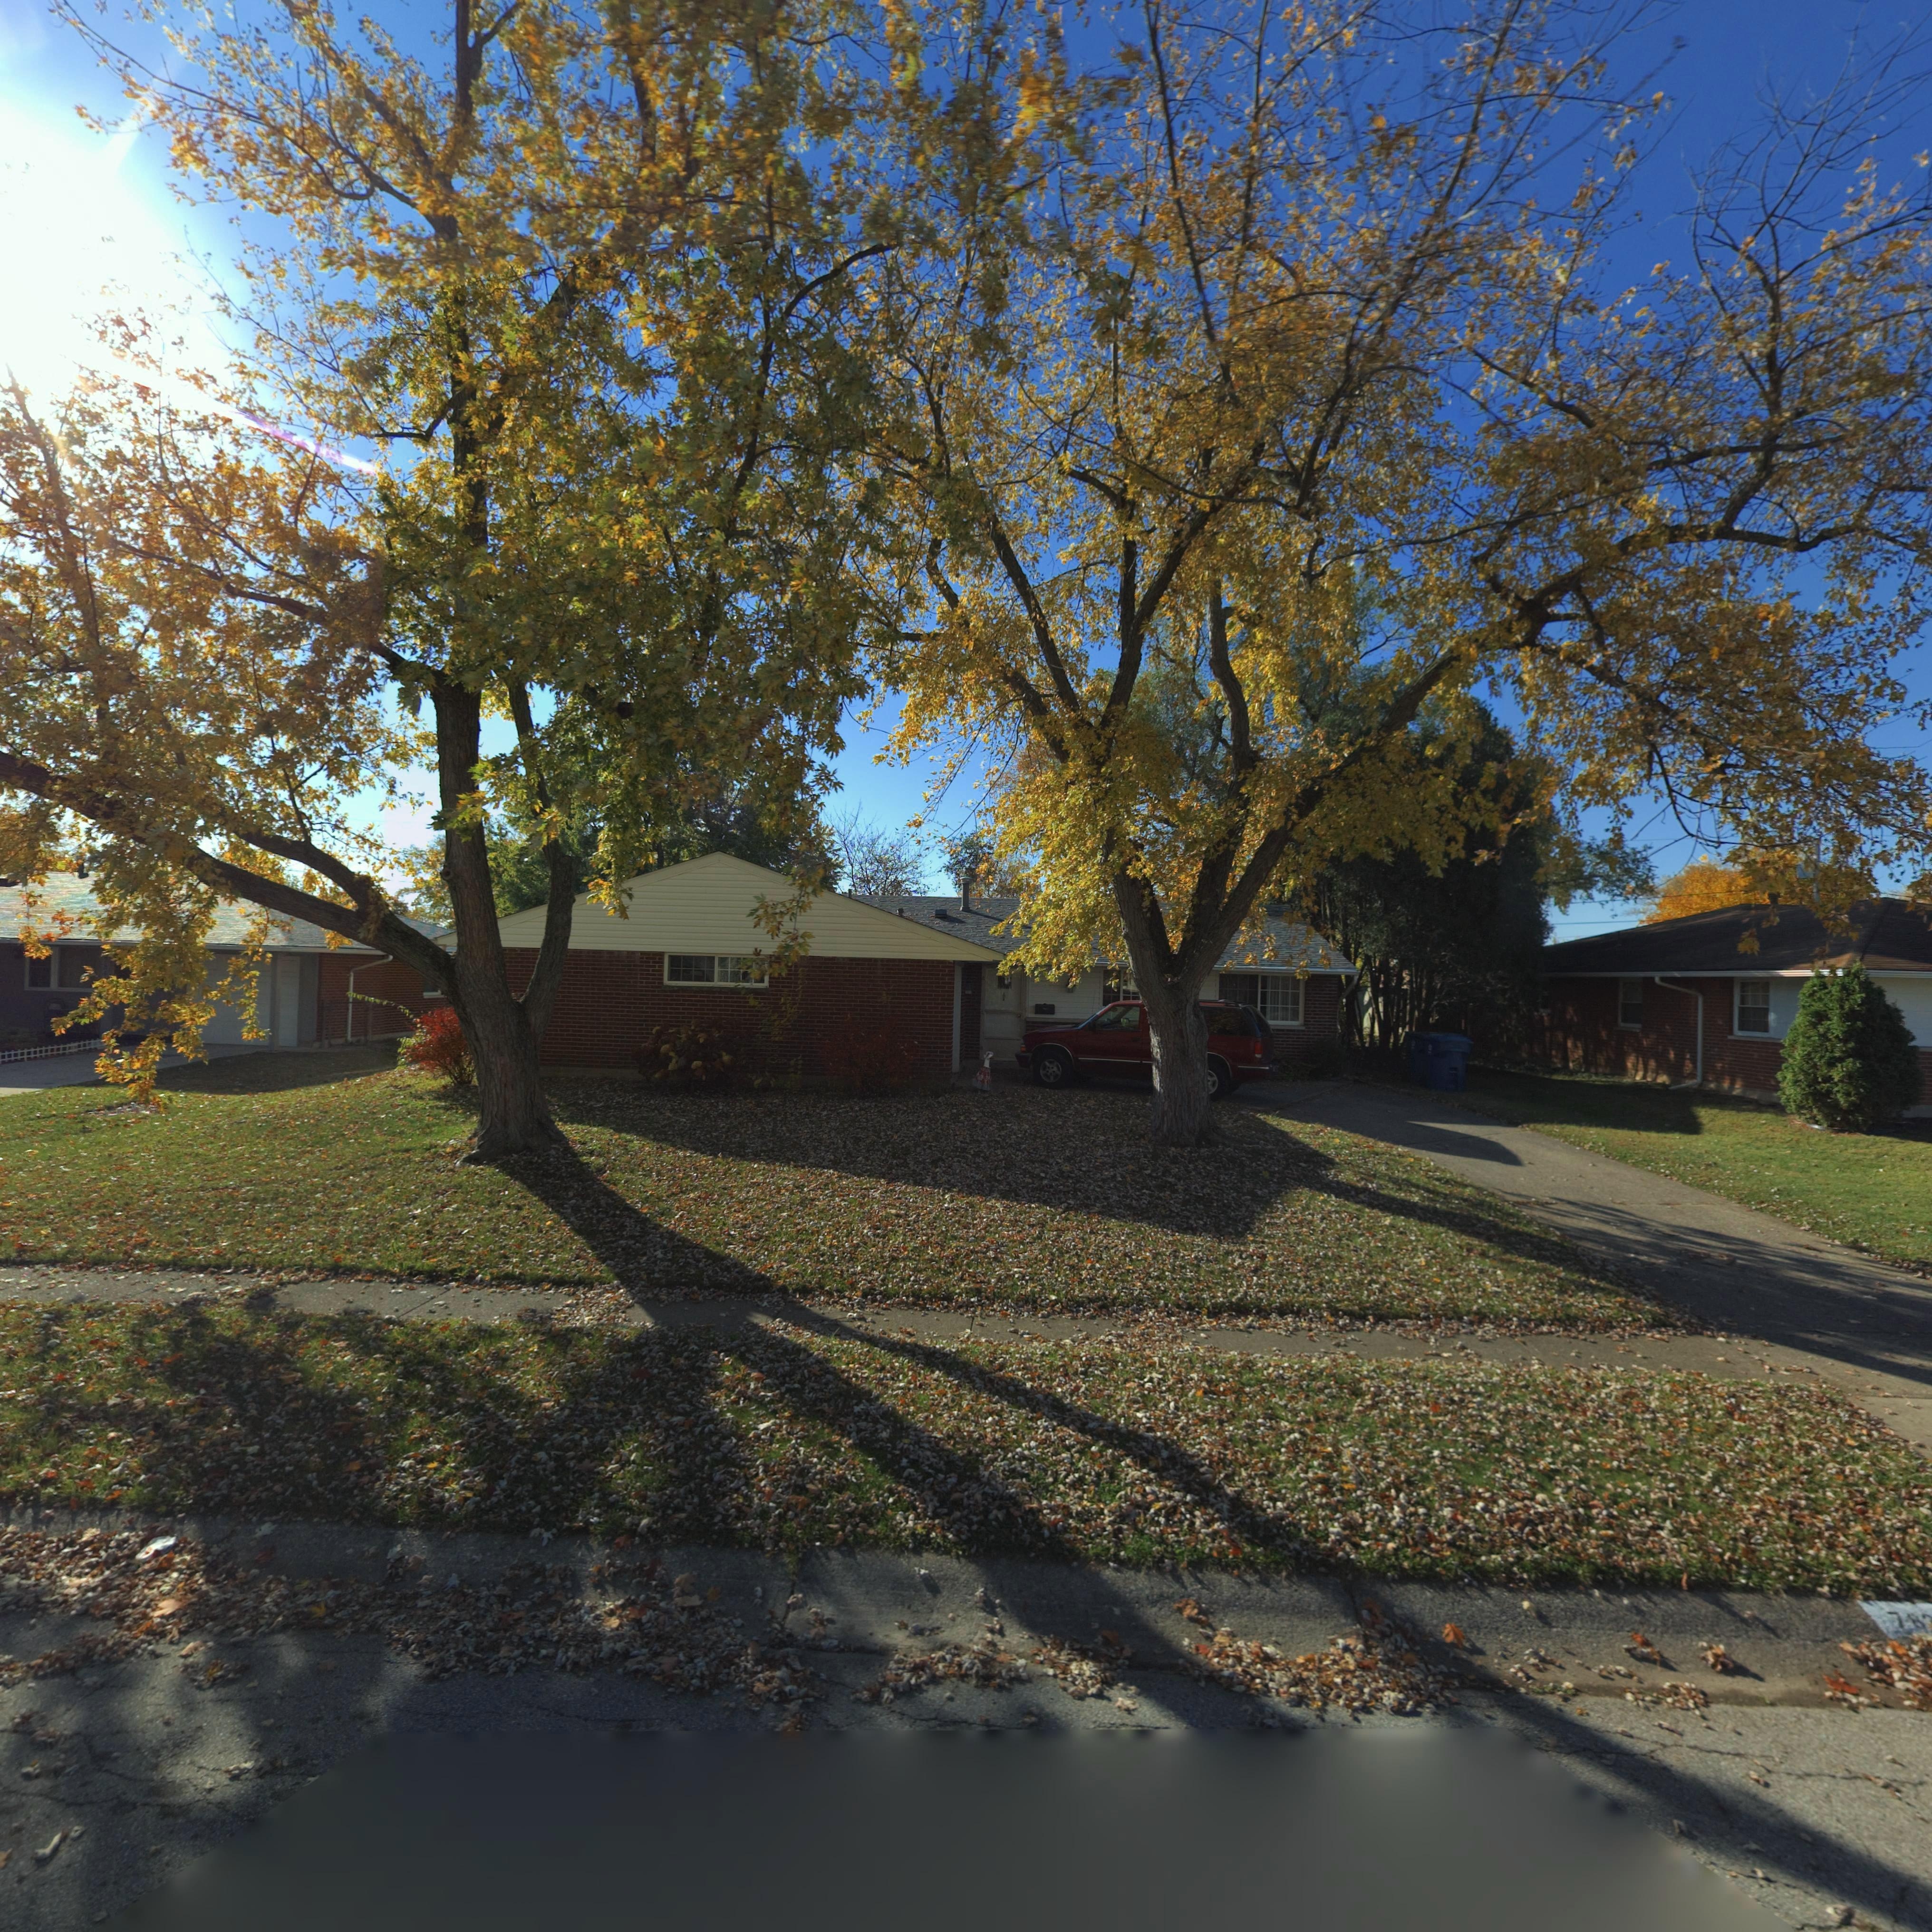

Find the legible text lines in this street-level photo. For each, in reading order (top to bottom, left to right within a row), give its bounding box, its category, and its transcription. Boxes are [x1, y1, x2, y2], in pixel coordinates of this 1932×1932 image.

[1885, 1611, 1927, 1631] StreetNumber: 78